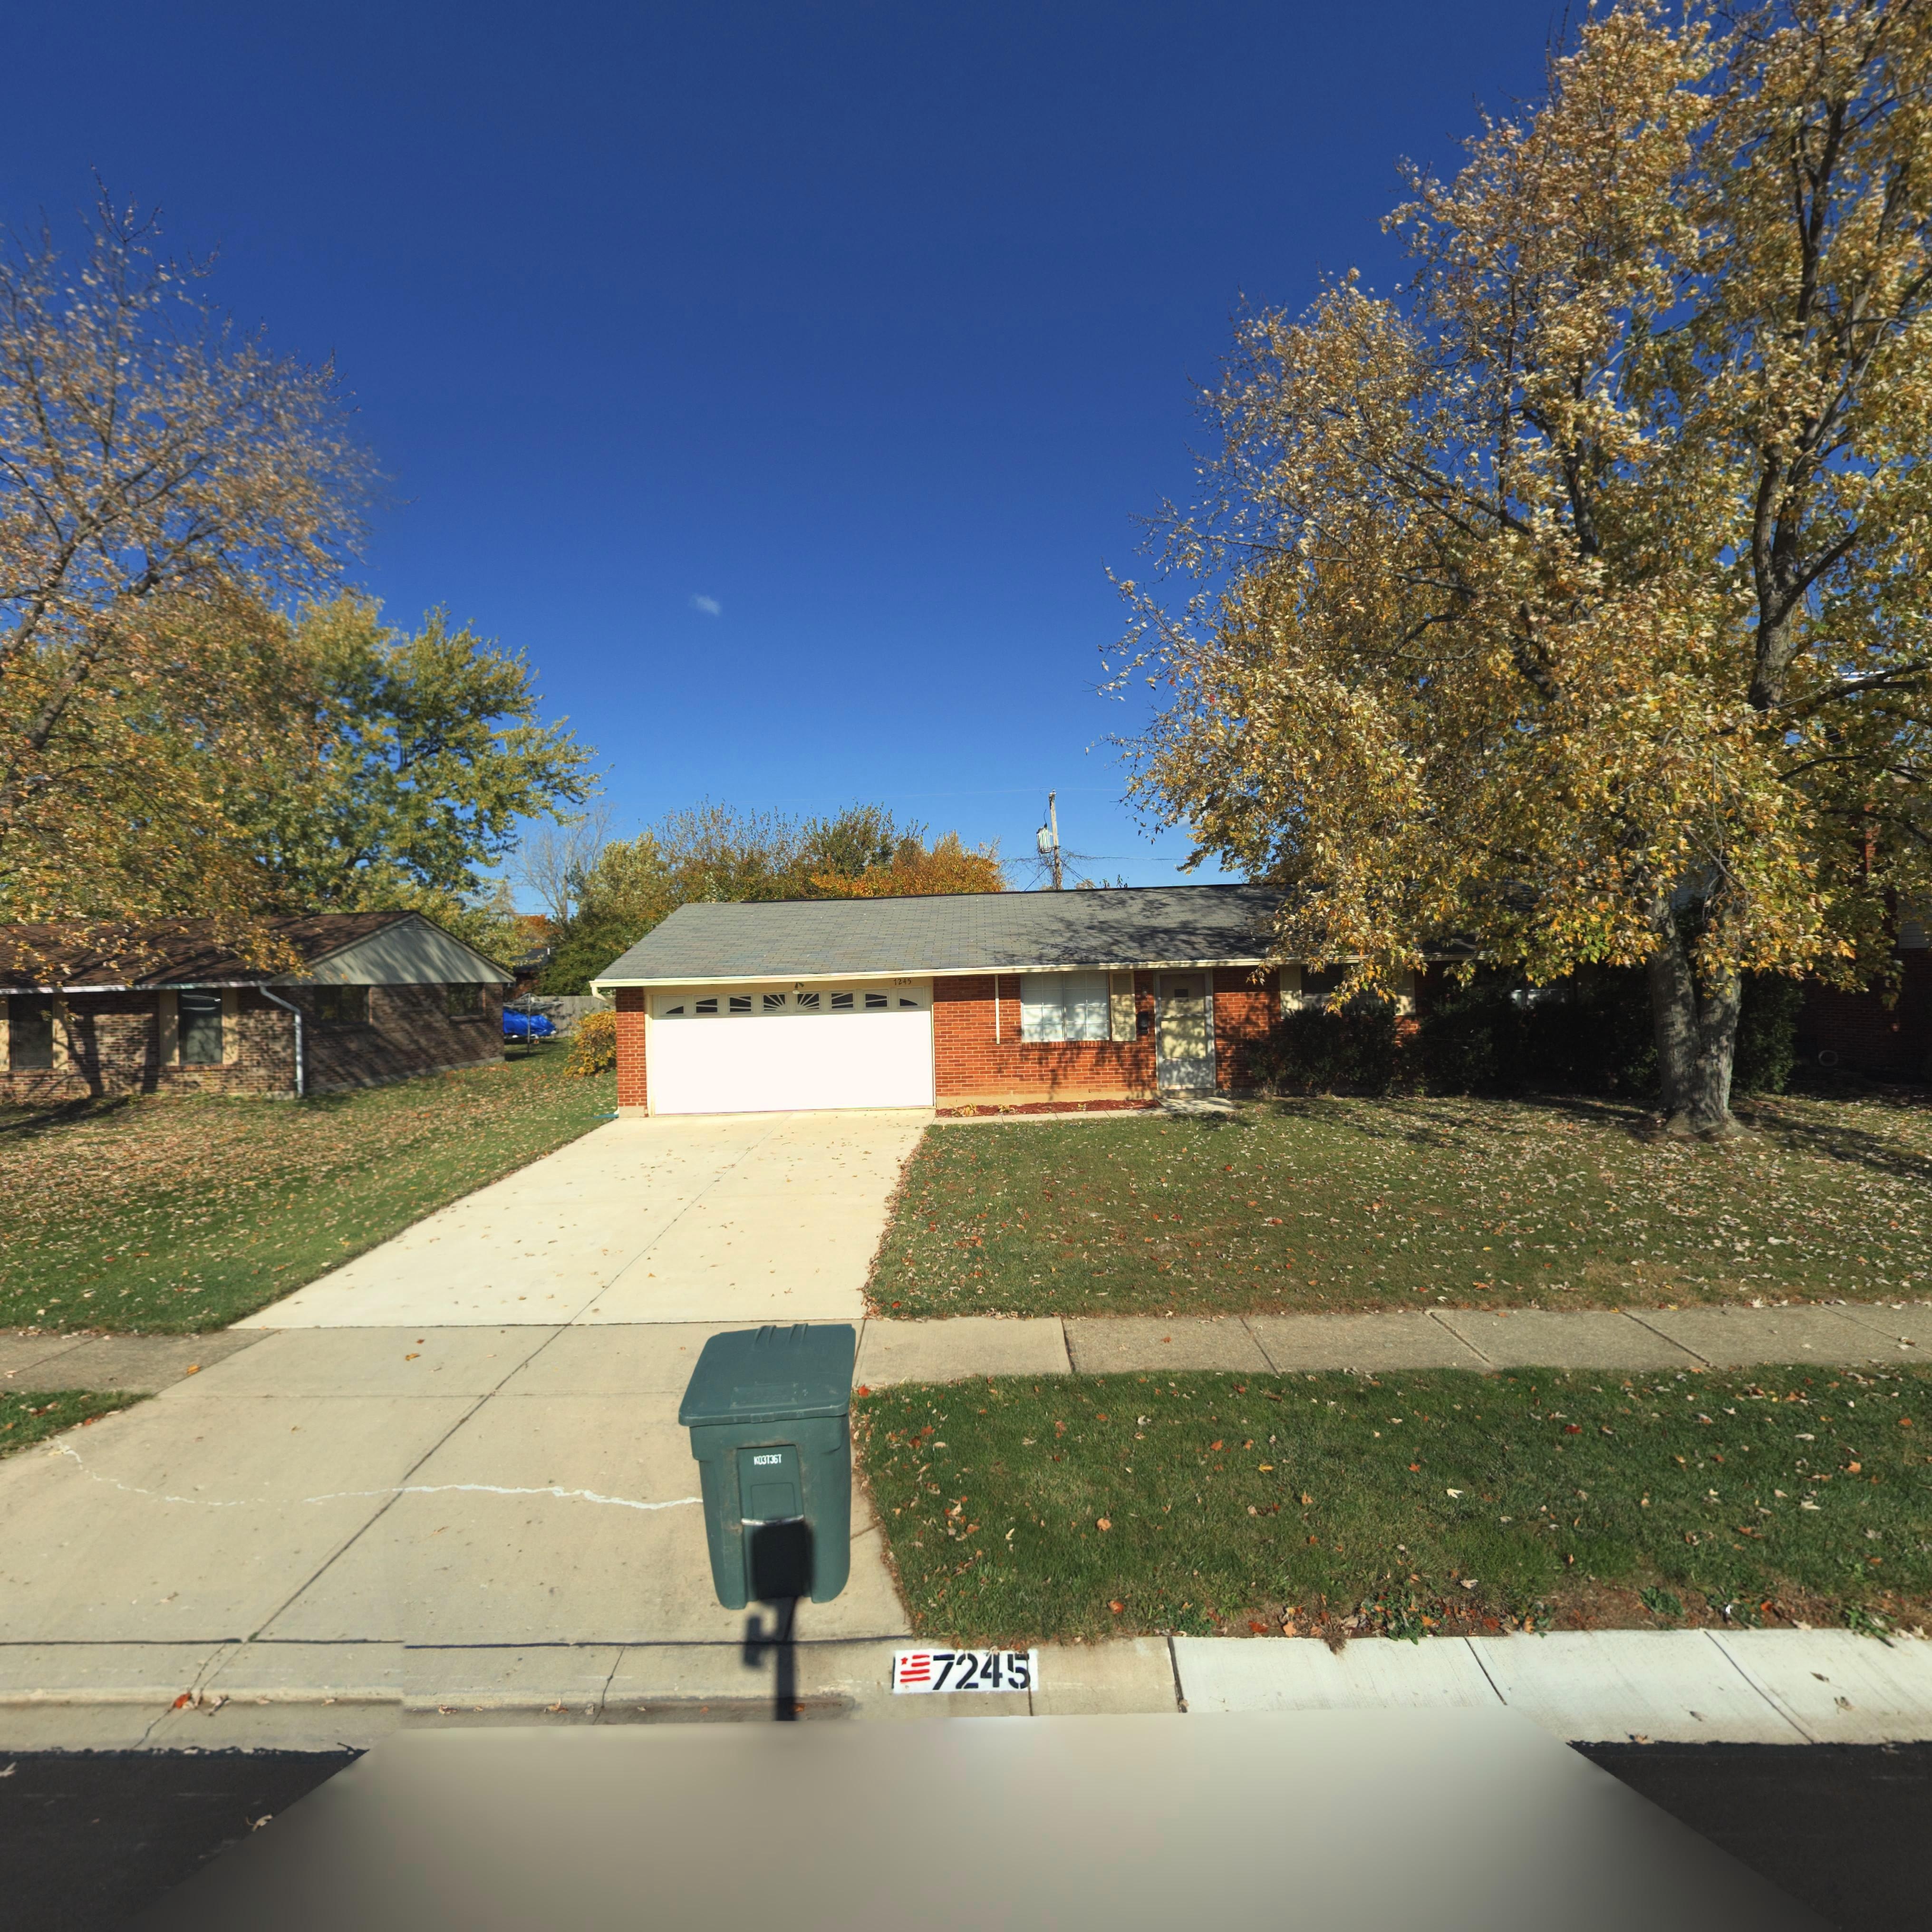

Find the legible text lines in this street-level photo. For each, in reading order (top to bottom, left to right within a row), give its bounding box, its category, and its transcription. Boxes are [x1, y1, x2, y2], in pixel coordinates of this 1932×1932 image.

[892, 977, 913, 987] StreetNumber: 7245
[929, 1651, 1034, 1694] StreetNumber: 7245